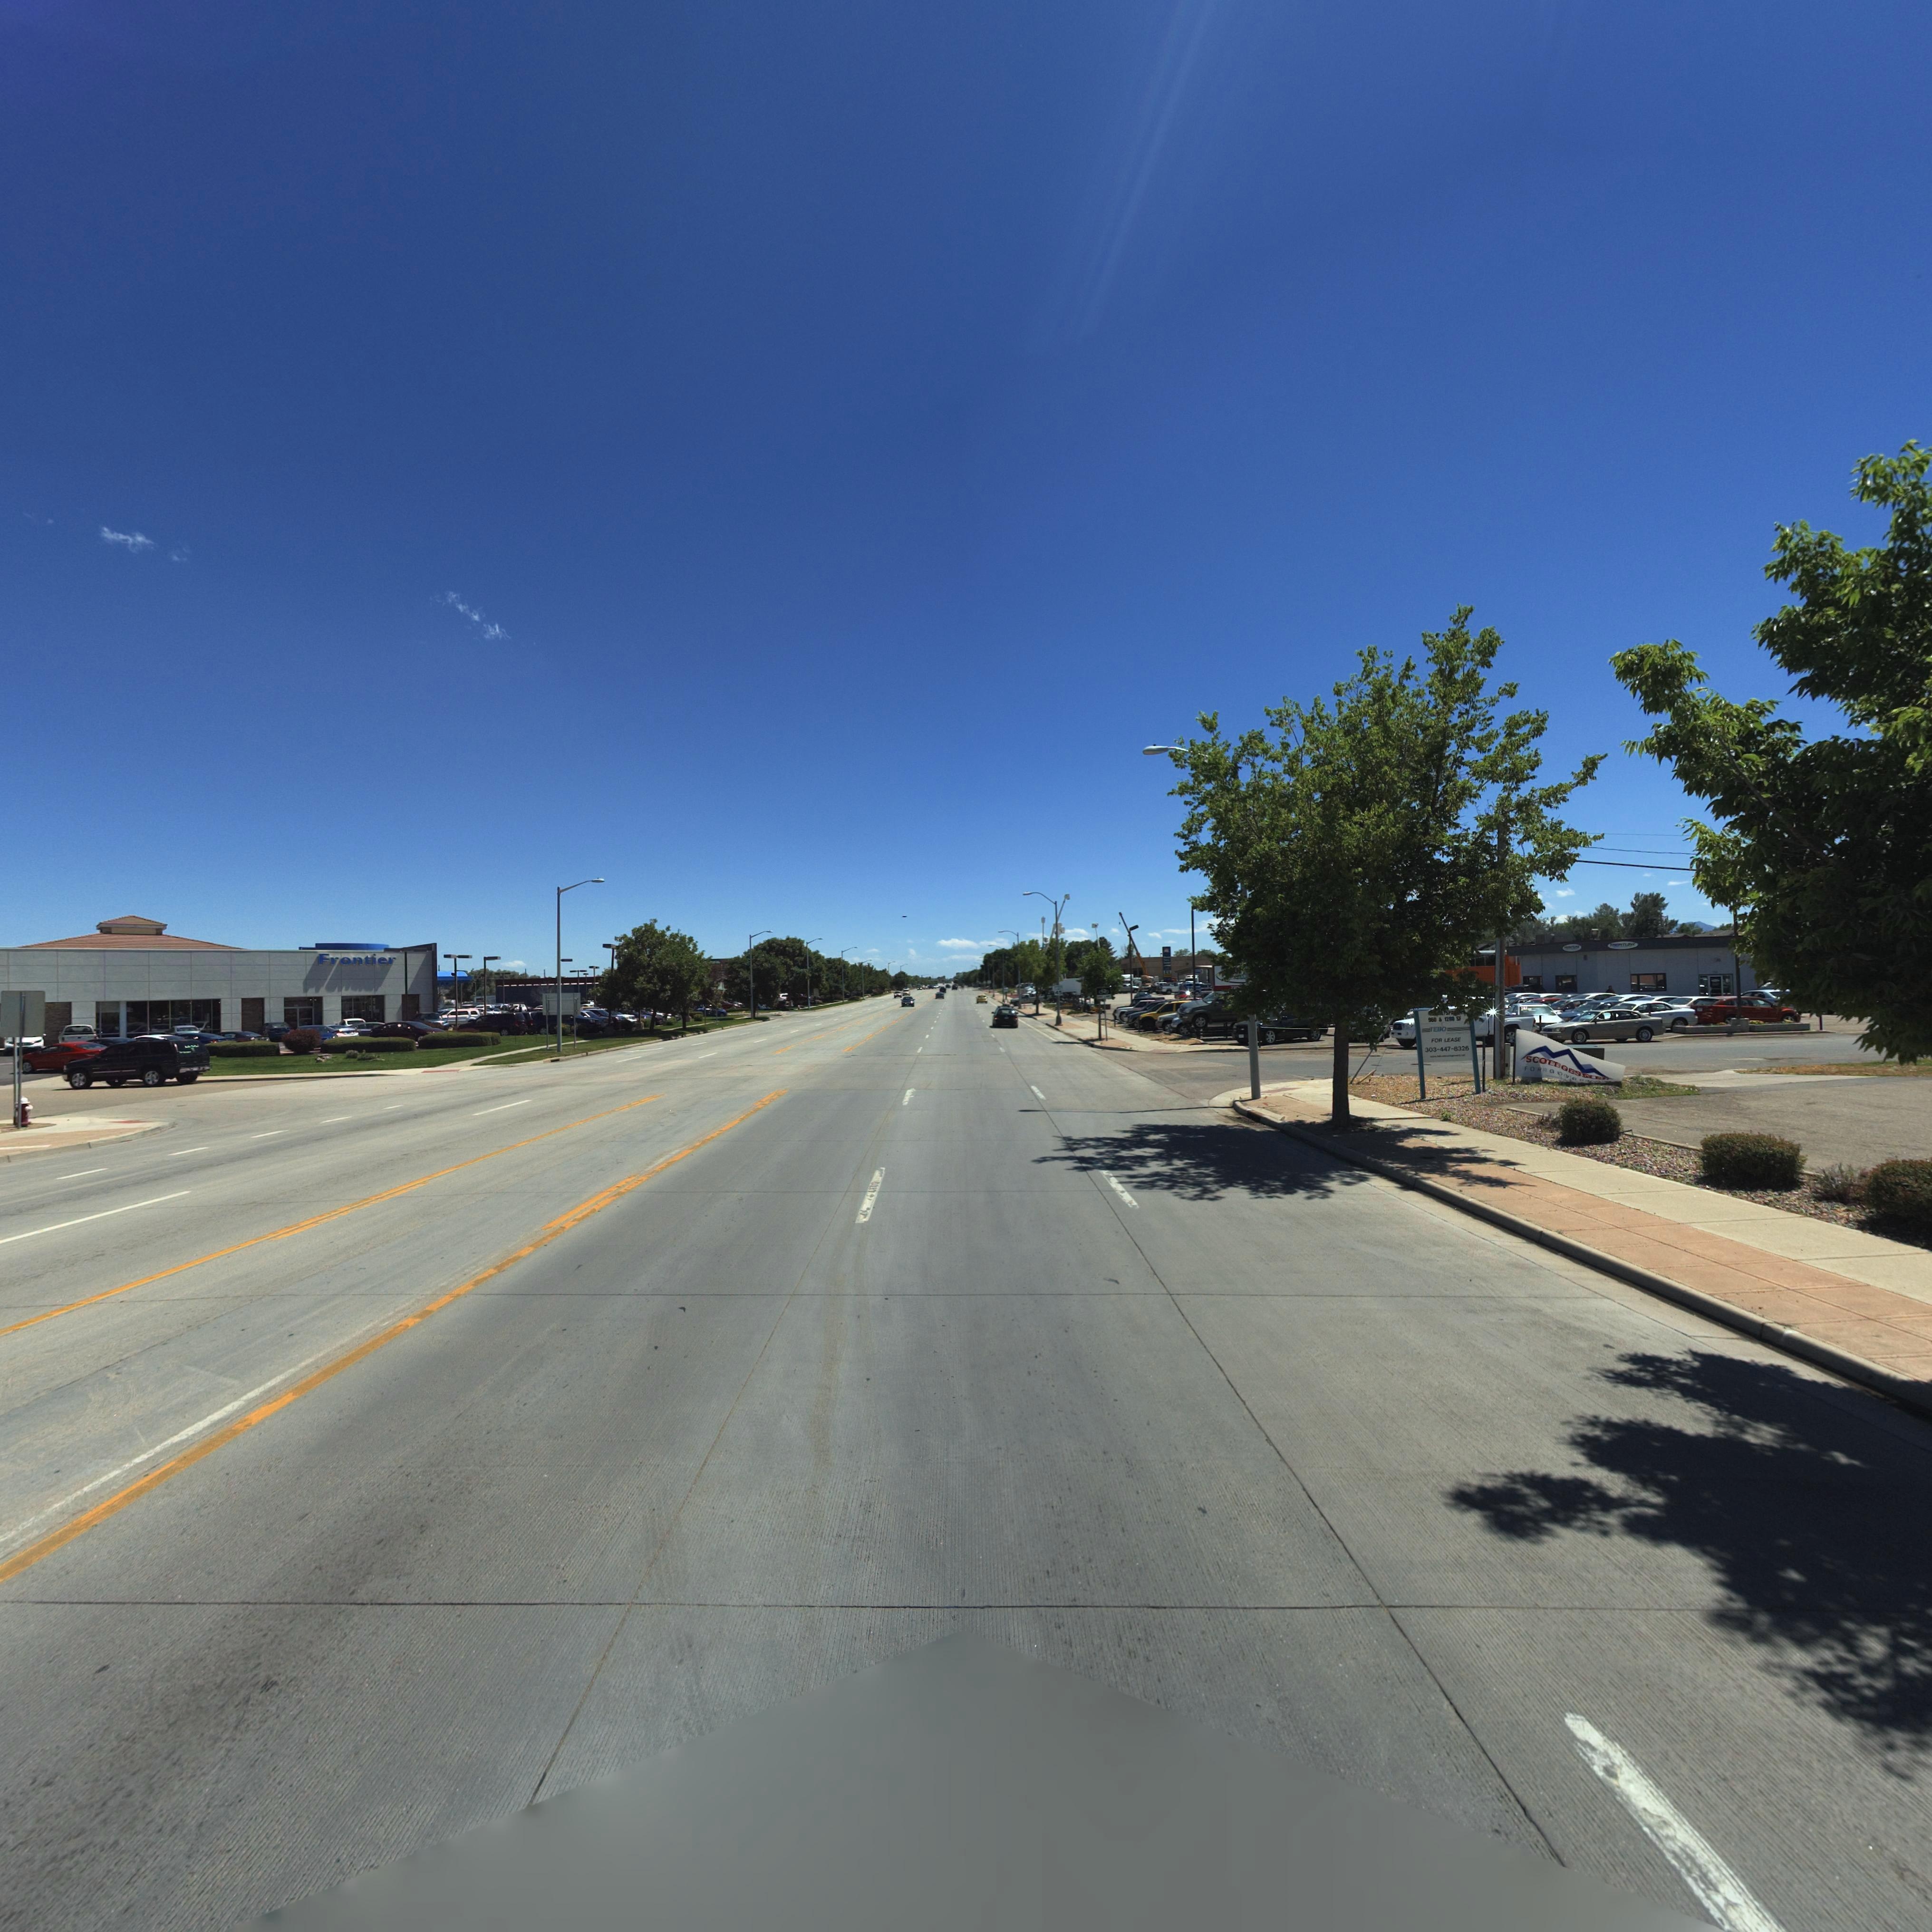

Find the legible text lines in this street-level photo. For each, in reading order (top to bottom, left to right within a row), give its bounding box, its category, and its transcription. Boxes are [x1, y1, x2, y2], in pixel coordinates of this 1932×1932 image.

[1610, 942, 1635, 947] BusinessName: ****T****
[318, 953, 396, 966] BusinessName: Frontier